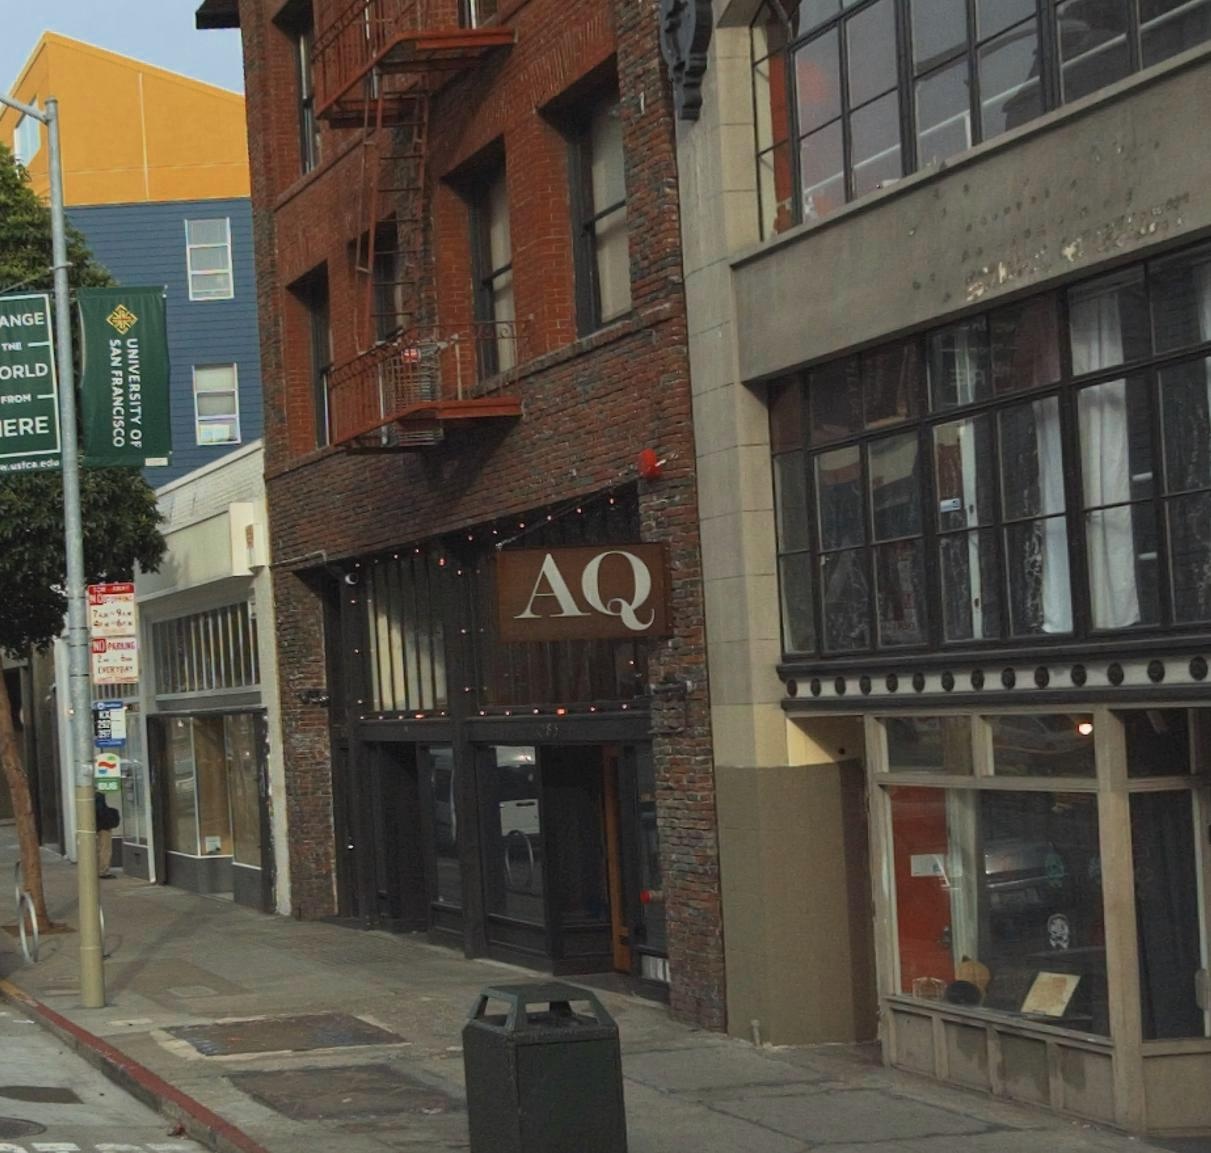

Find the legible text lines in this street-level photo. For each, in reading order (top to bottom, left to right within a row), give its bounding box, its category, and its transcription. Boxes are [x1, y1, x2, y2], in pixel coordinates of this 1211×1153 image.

[5, 307, 49, 332] None: NGE
[0, 338, 27, 355] None: THE
[8, 357, 53, 383] None: RLD
[0, 389, 36, 408] None: FROM
[105, 336, 128, 453] None: SAN FRANCISCO
[123, 335, 144, 451] None: UN
[0, 412, 53, 441] None: ERE
[87, 591, 107, 606] None: NO
[503, 542, 663, 637] BusinessName: AQ
[90, 637, 109, 654] None: NO